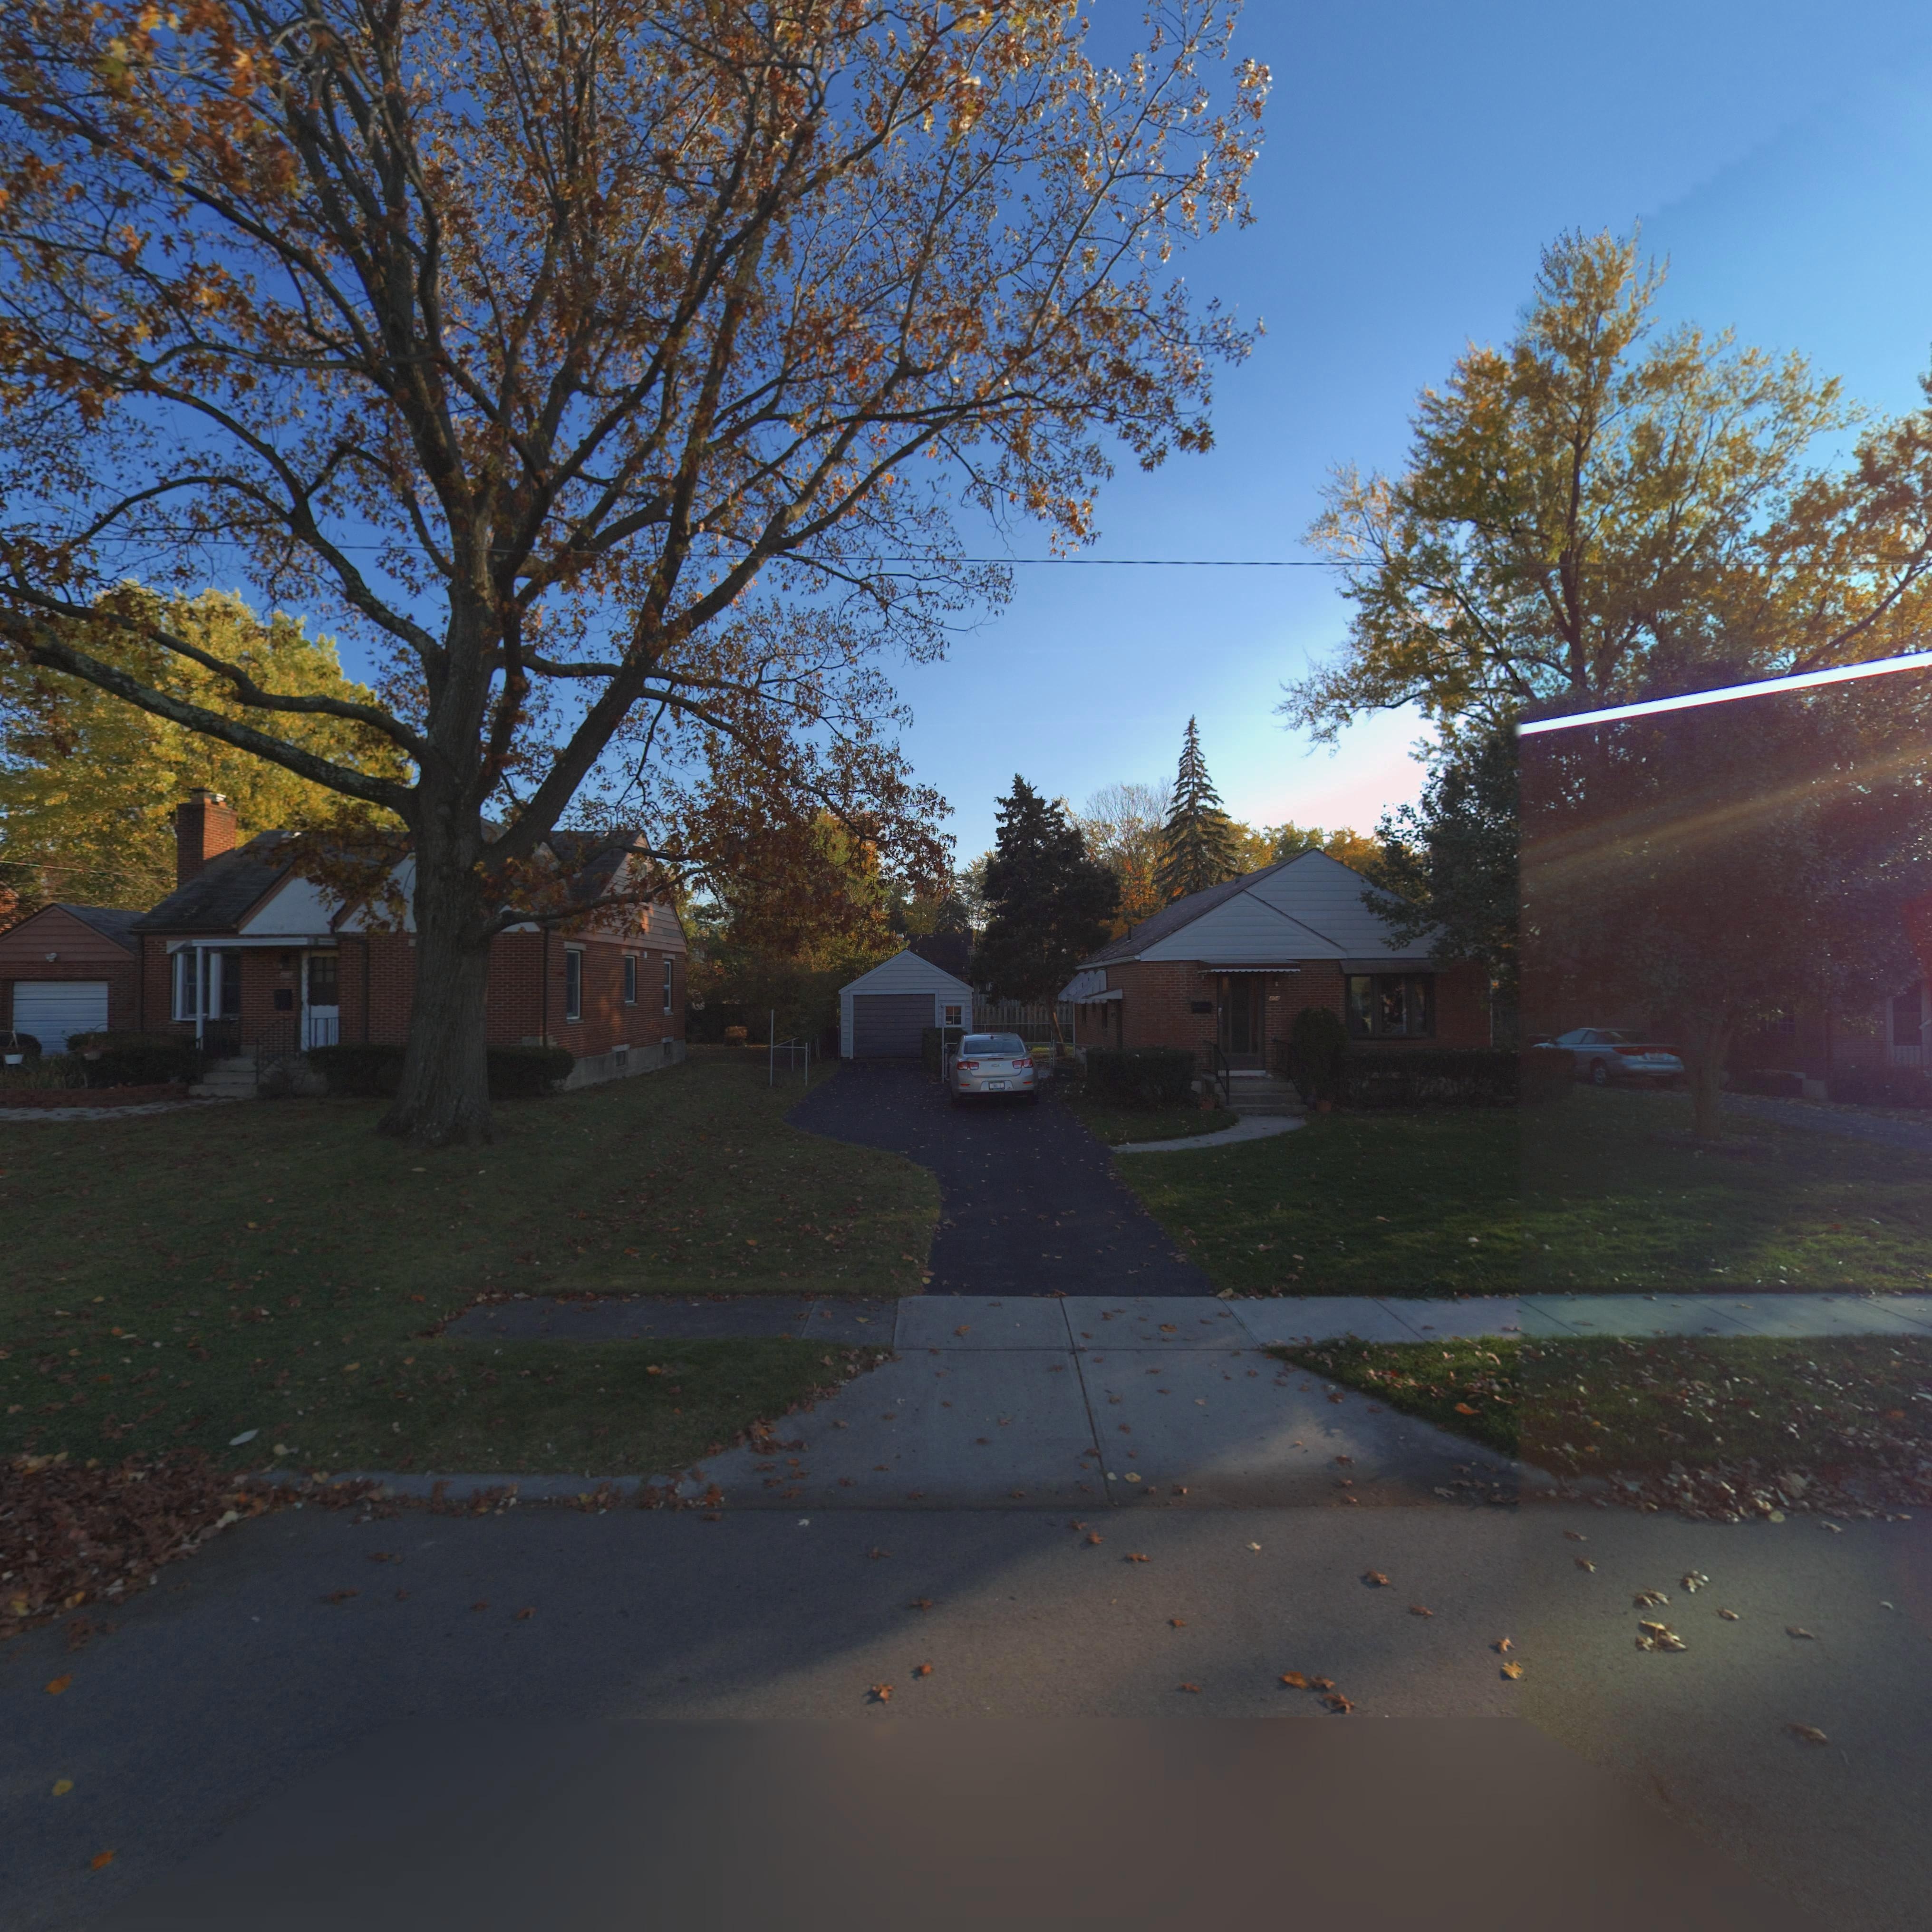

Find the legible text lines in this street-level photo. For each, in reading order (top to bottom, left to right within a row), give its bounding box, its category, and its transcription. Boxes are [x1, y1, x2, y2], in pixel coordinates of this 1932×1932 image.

[1268, 995, 1281, 1001] StreetNumber: 404